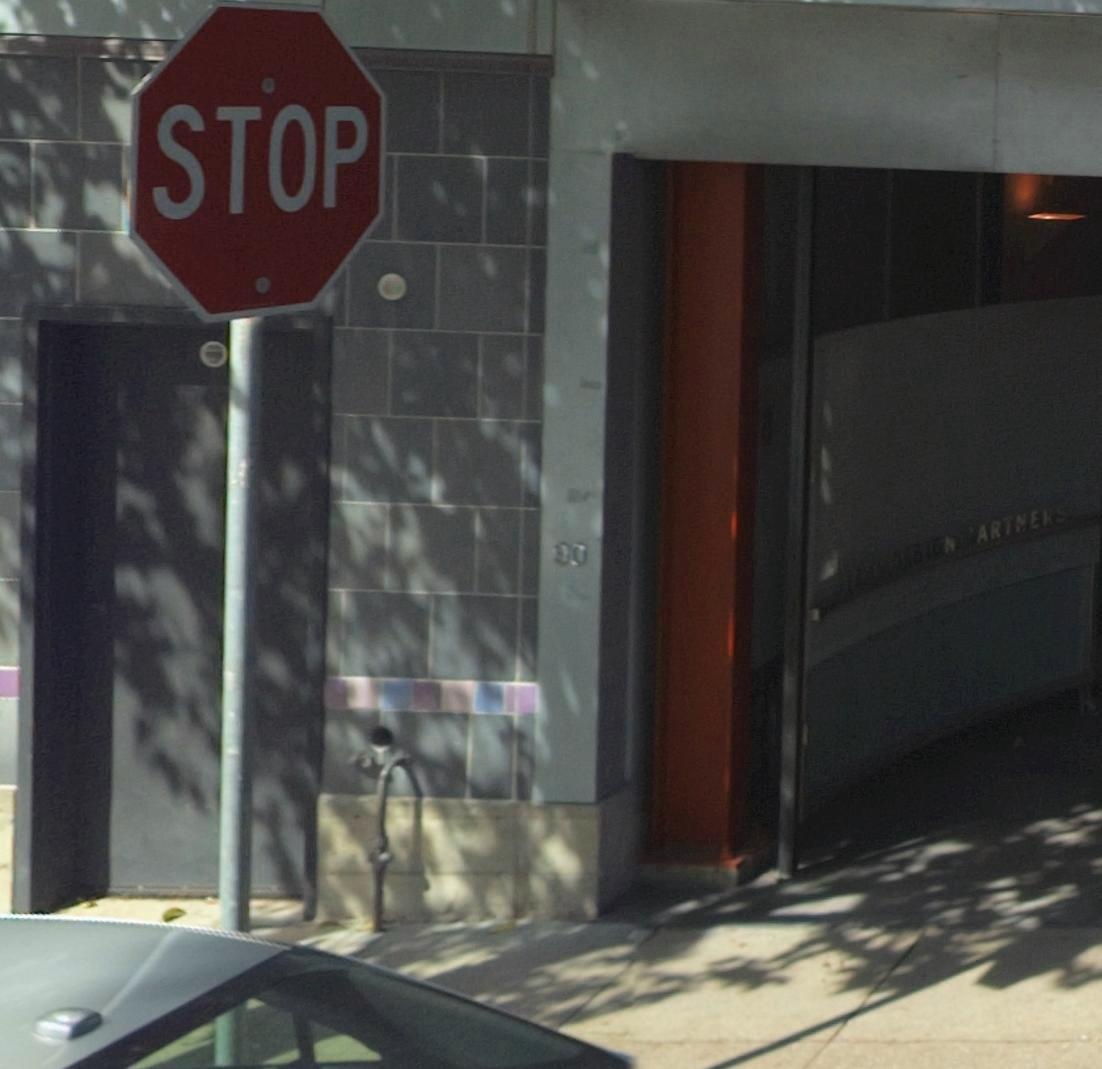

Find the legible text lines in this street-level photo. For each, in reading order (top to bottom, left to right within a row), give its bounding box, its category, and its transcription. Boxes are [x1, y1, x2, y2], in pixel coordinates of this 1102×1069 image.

[146, 99, 375, 225] None: STOP
[975, 500, 1071, 548] None: ARTNERS
[550, 538, 594, 571] StreetNumber: 90